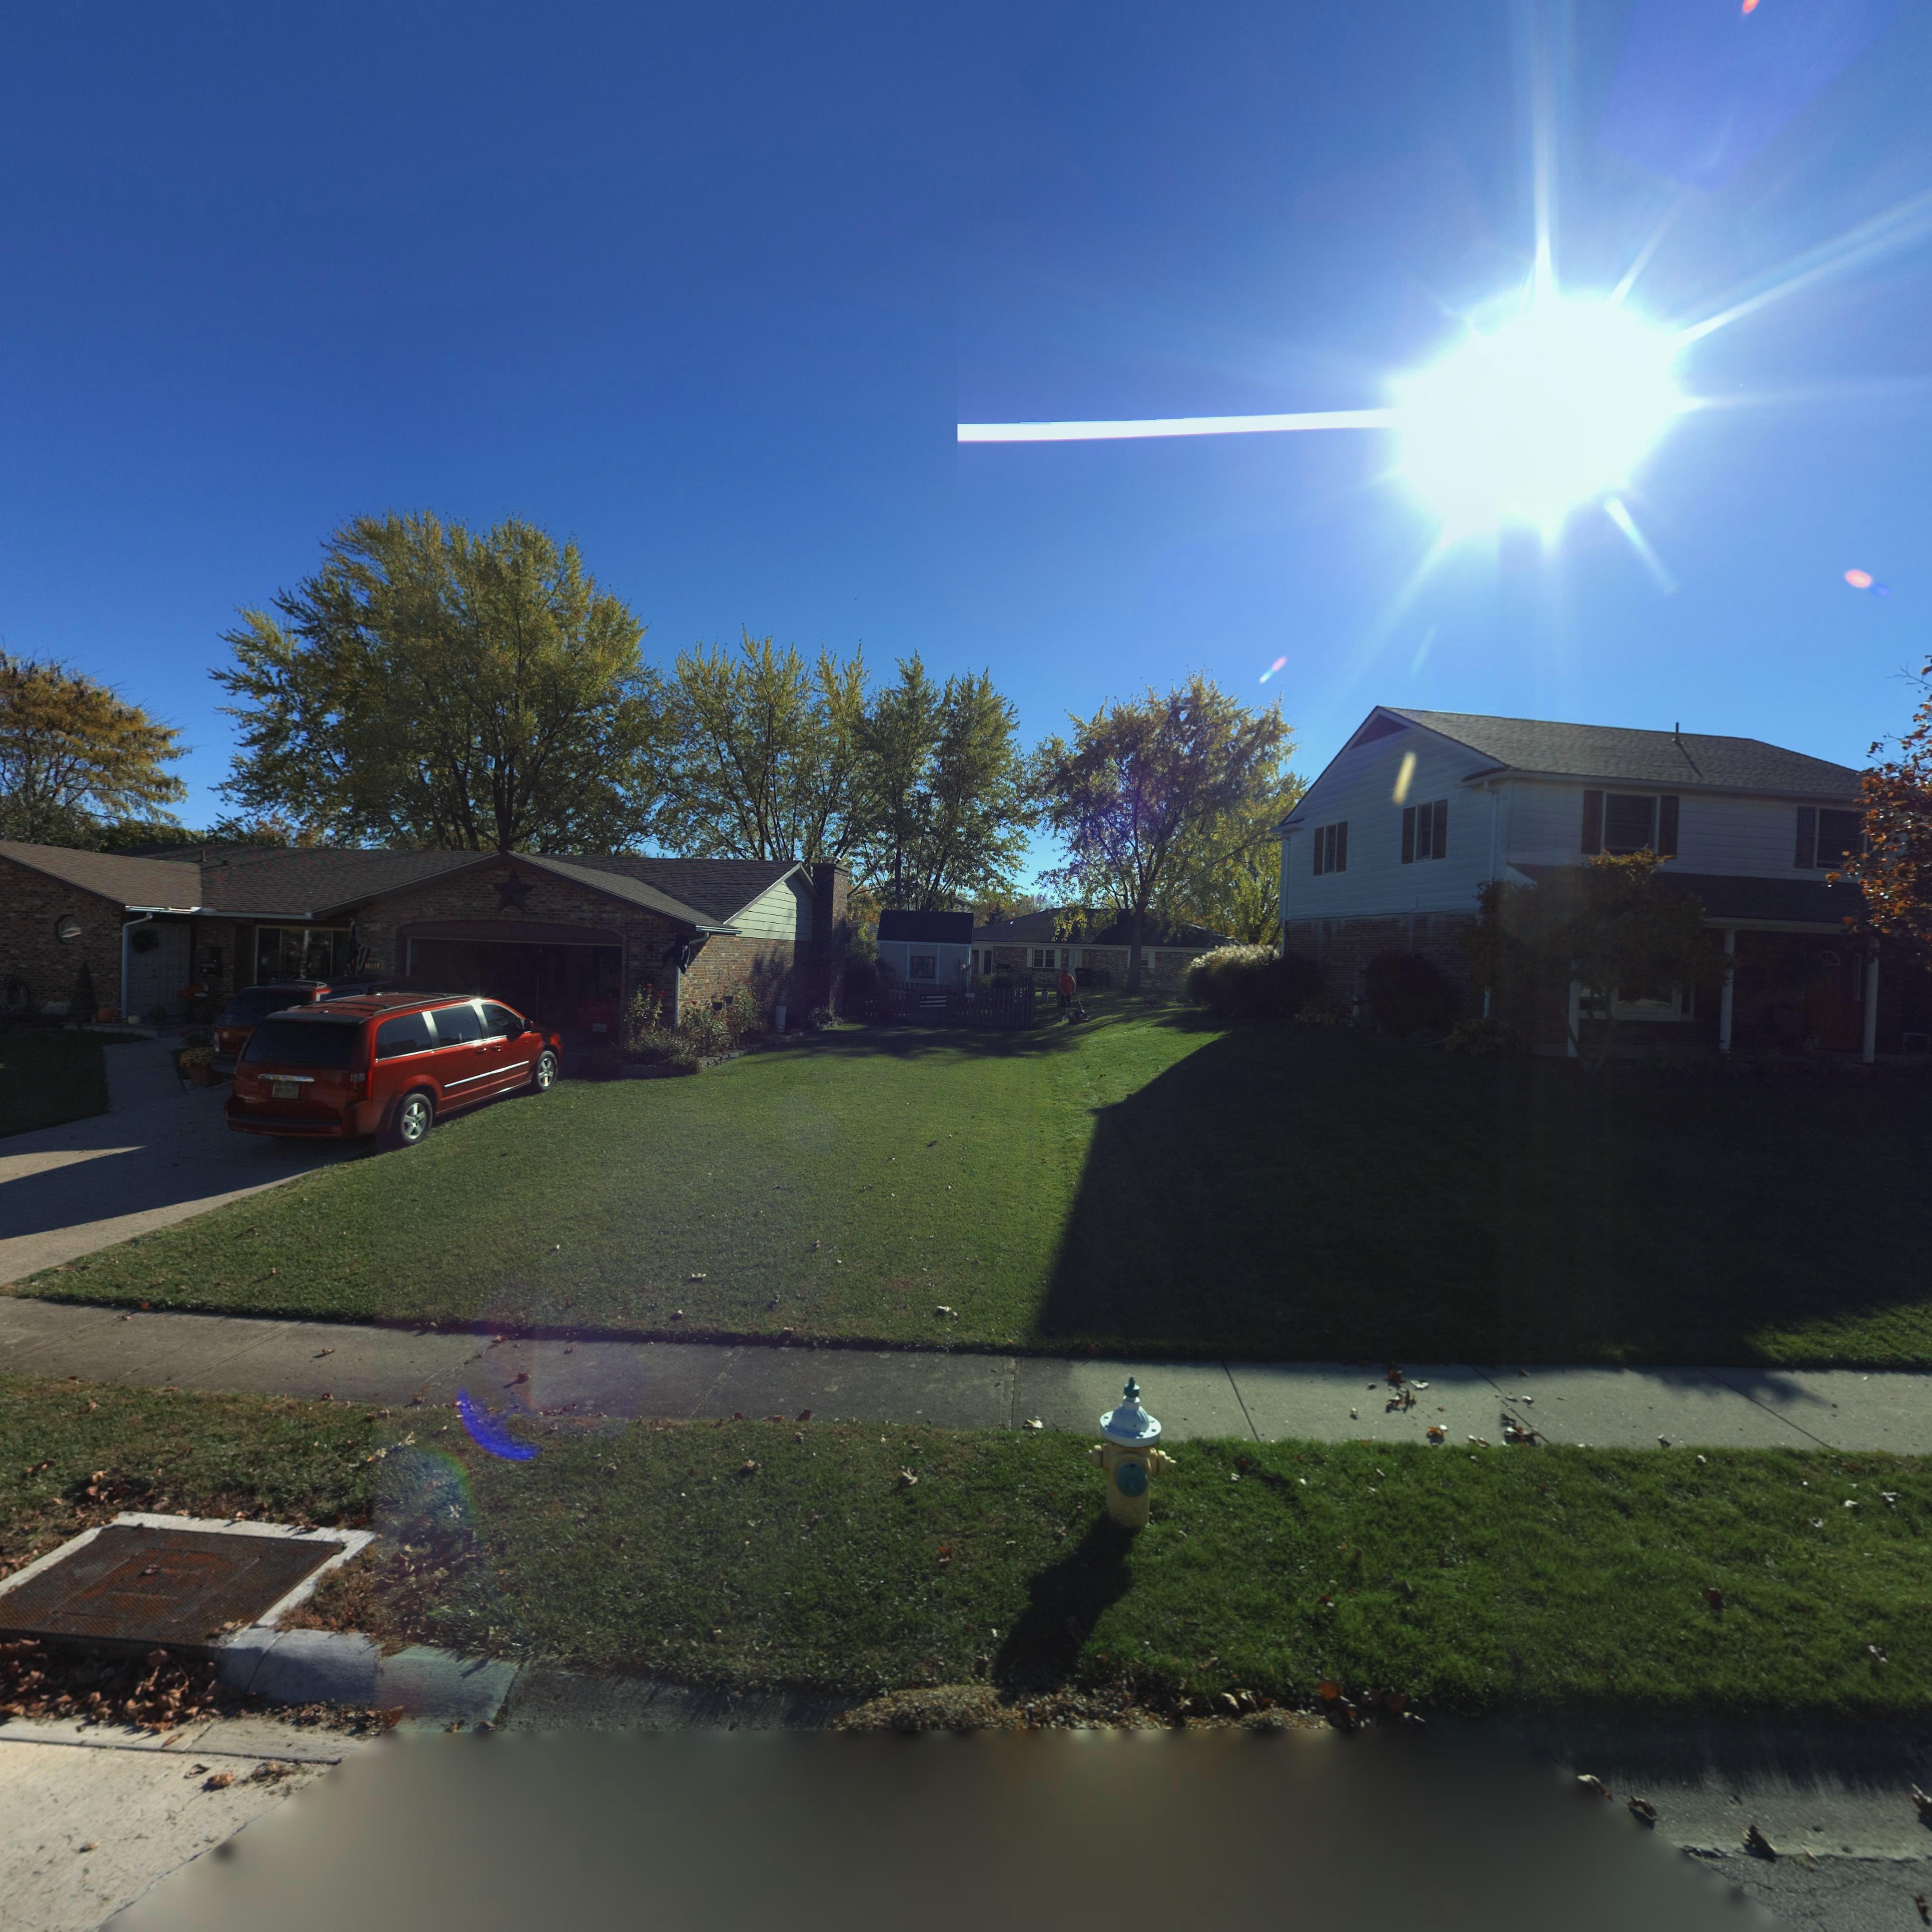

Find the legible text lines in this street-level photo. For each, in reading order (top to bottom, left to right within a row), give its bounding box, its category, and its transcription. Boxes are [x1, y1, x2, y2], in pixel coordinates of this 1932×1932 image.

[364, 962, 380, 969] StreetNumber: *61**